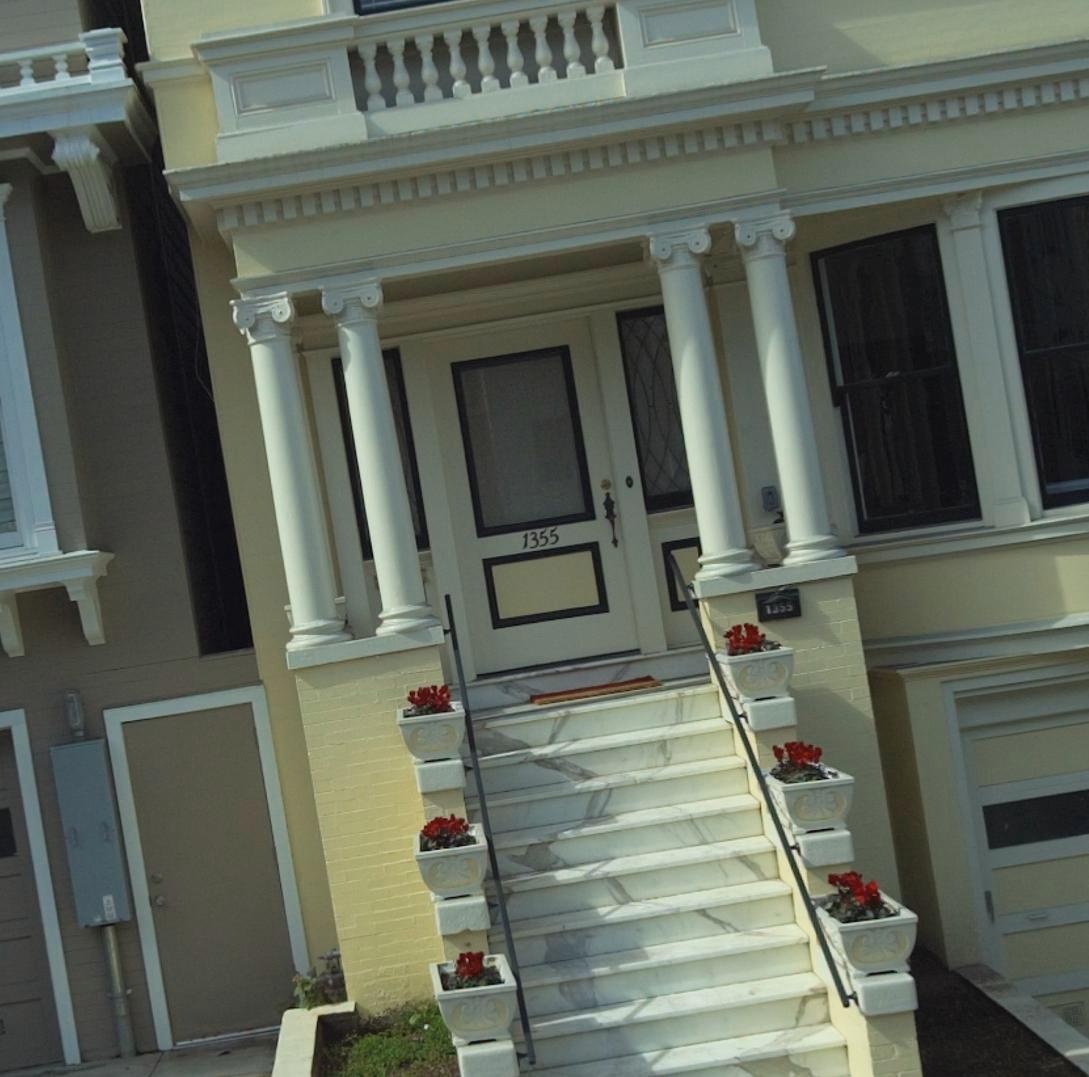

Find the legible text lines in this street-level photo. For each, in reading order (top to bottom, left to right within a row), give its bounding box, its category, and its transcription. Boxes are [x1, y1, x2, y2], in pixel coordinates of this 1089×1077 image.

[519, 523, 562, 553] StreetNumber: 1355
[762, 597, 796, 618] StreetNumber: 1355